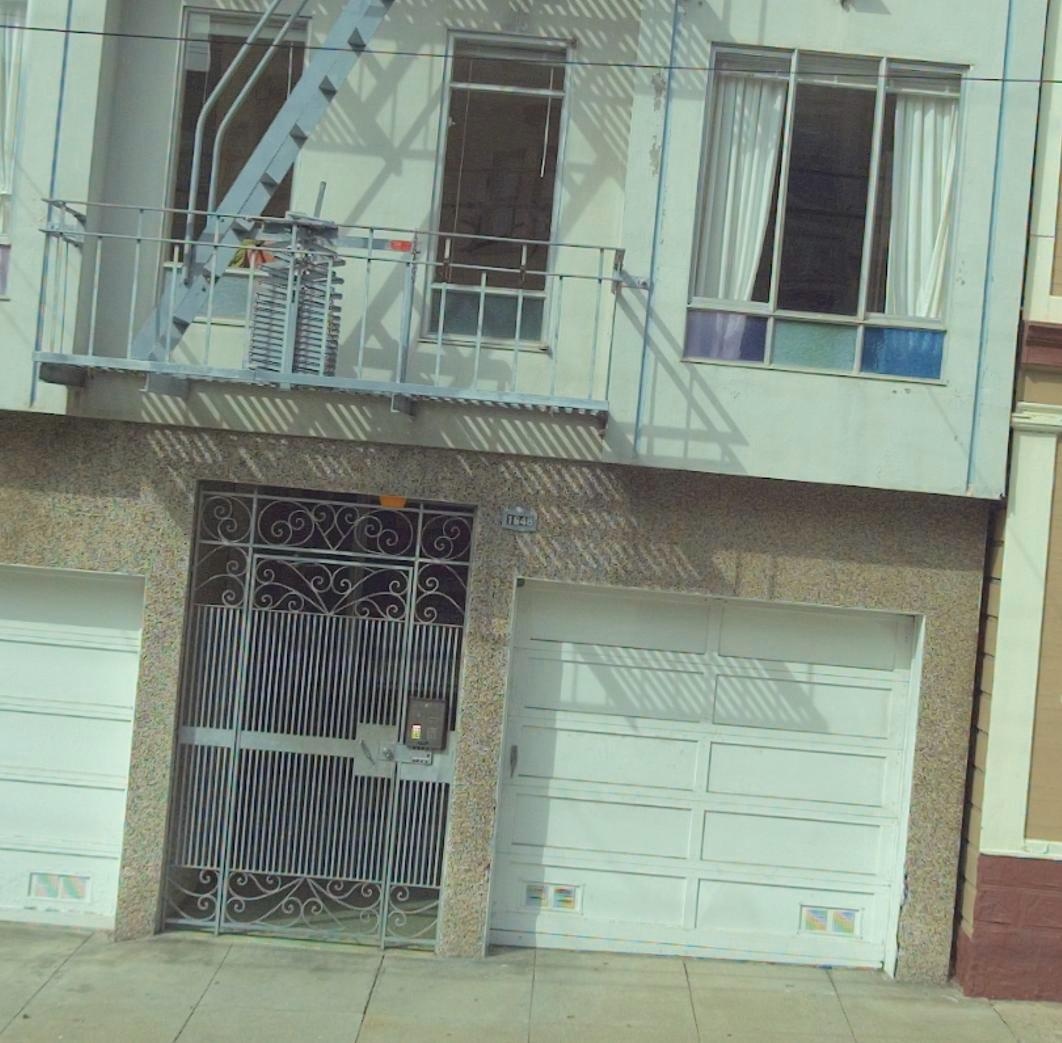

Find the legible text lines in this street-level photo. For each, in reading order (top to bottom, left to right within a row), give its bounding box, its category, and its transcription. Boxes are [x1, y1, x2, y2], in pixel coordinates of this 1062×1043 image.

[504, 512, 535, 529] StreetNumber: 1648